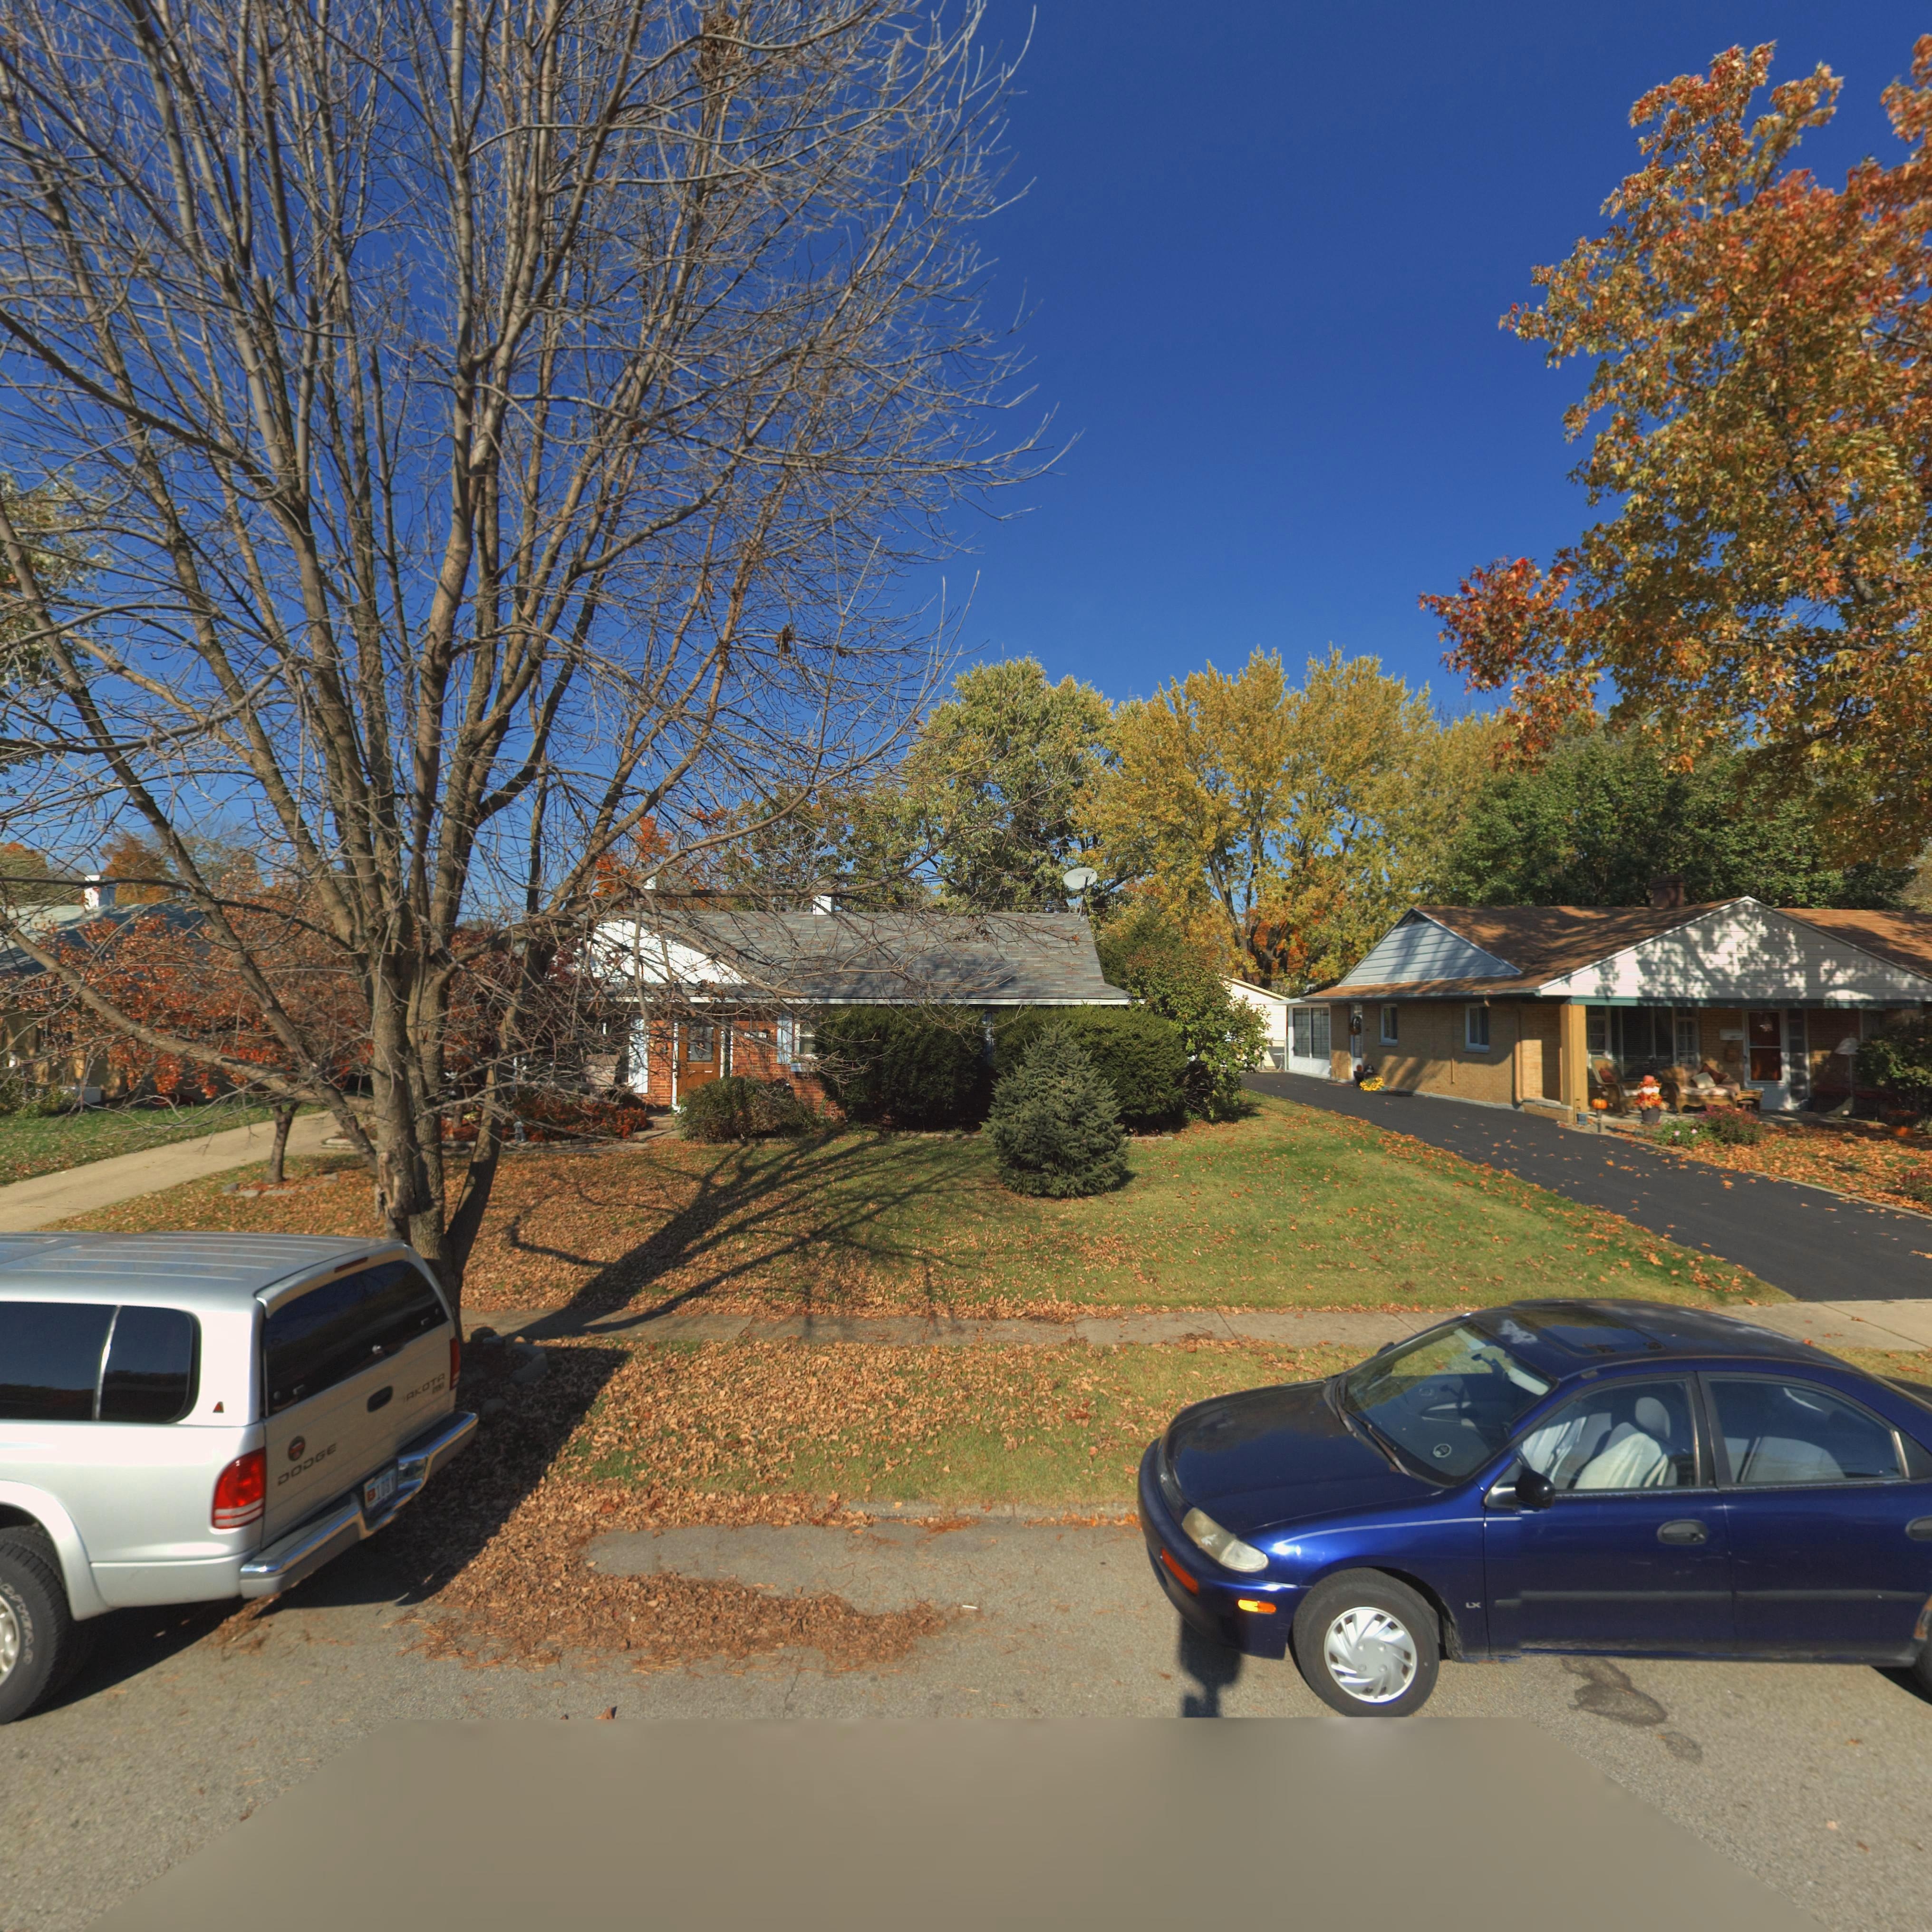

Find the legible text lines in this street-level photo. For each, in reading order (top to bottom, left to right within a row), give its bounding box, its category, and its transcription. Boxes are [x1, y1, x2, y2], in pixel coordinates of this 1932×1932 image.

[406, 1371, 445, 1403] None: AKOTA
[277, 1442, 337, 1488] None: DOGDE
[366, 1486, 377, 1504] None: B
[376, 1472, 395, 1502] None: 108Y
[1465, 1602, 1482, 1609] None: LX
[0, 1582, 36, 1667] None: D*YEAR